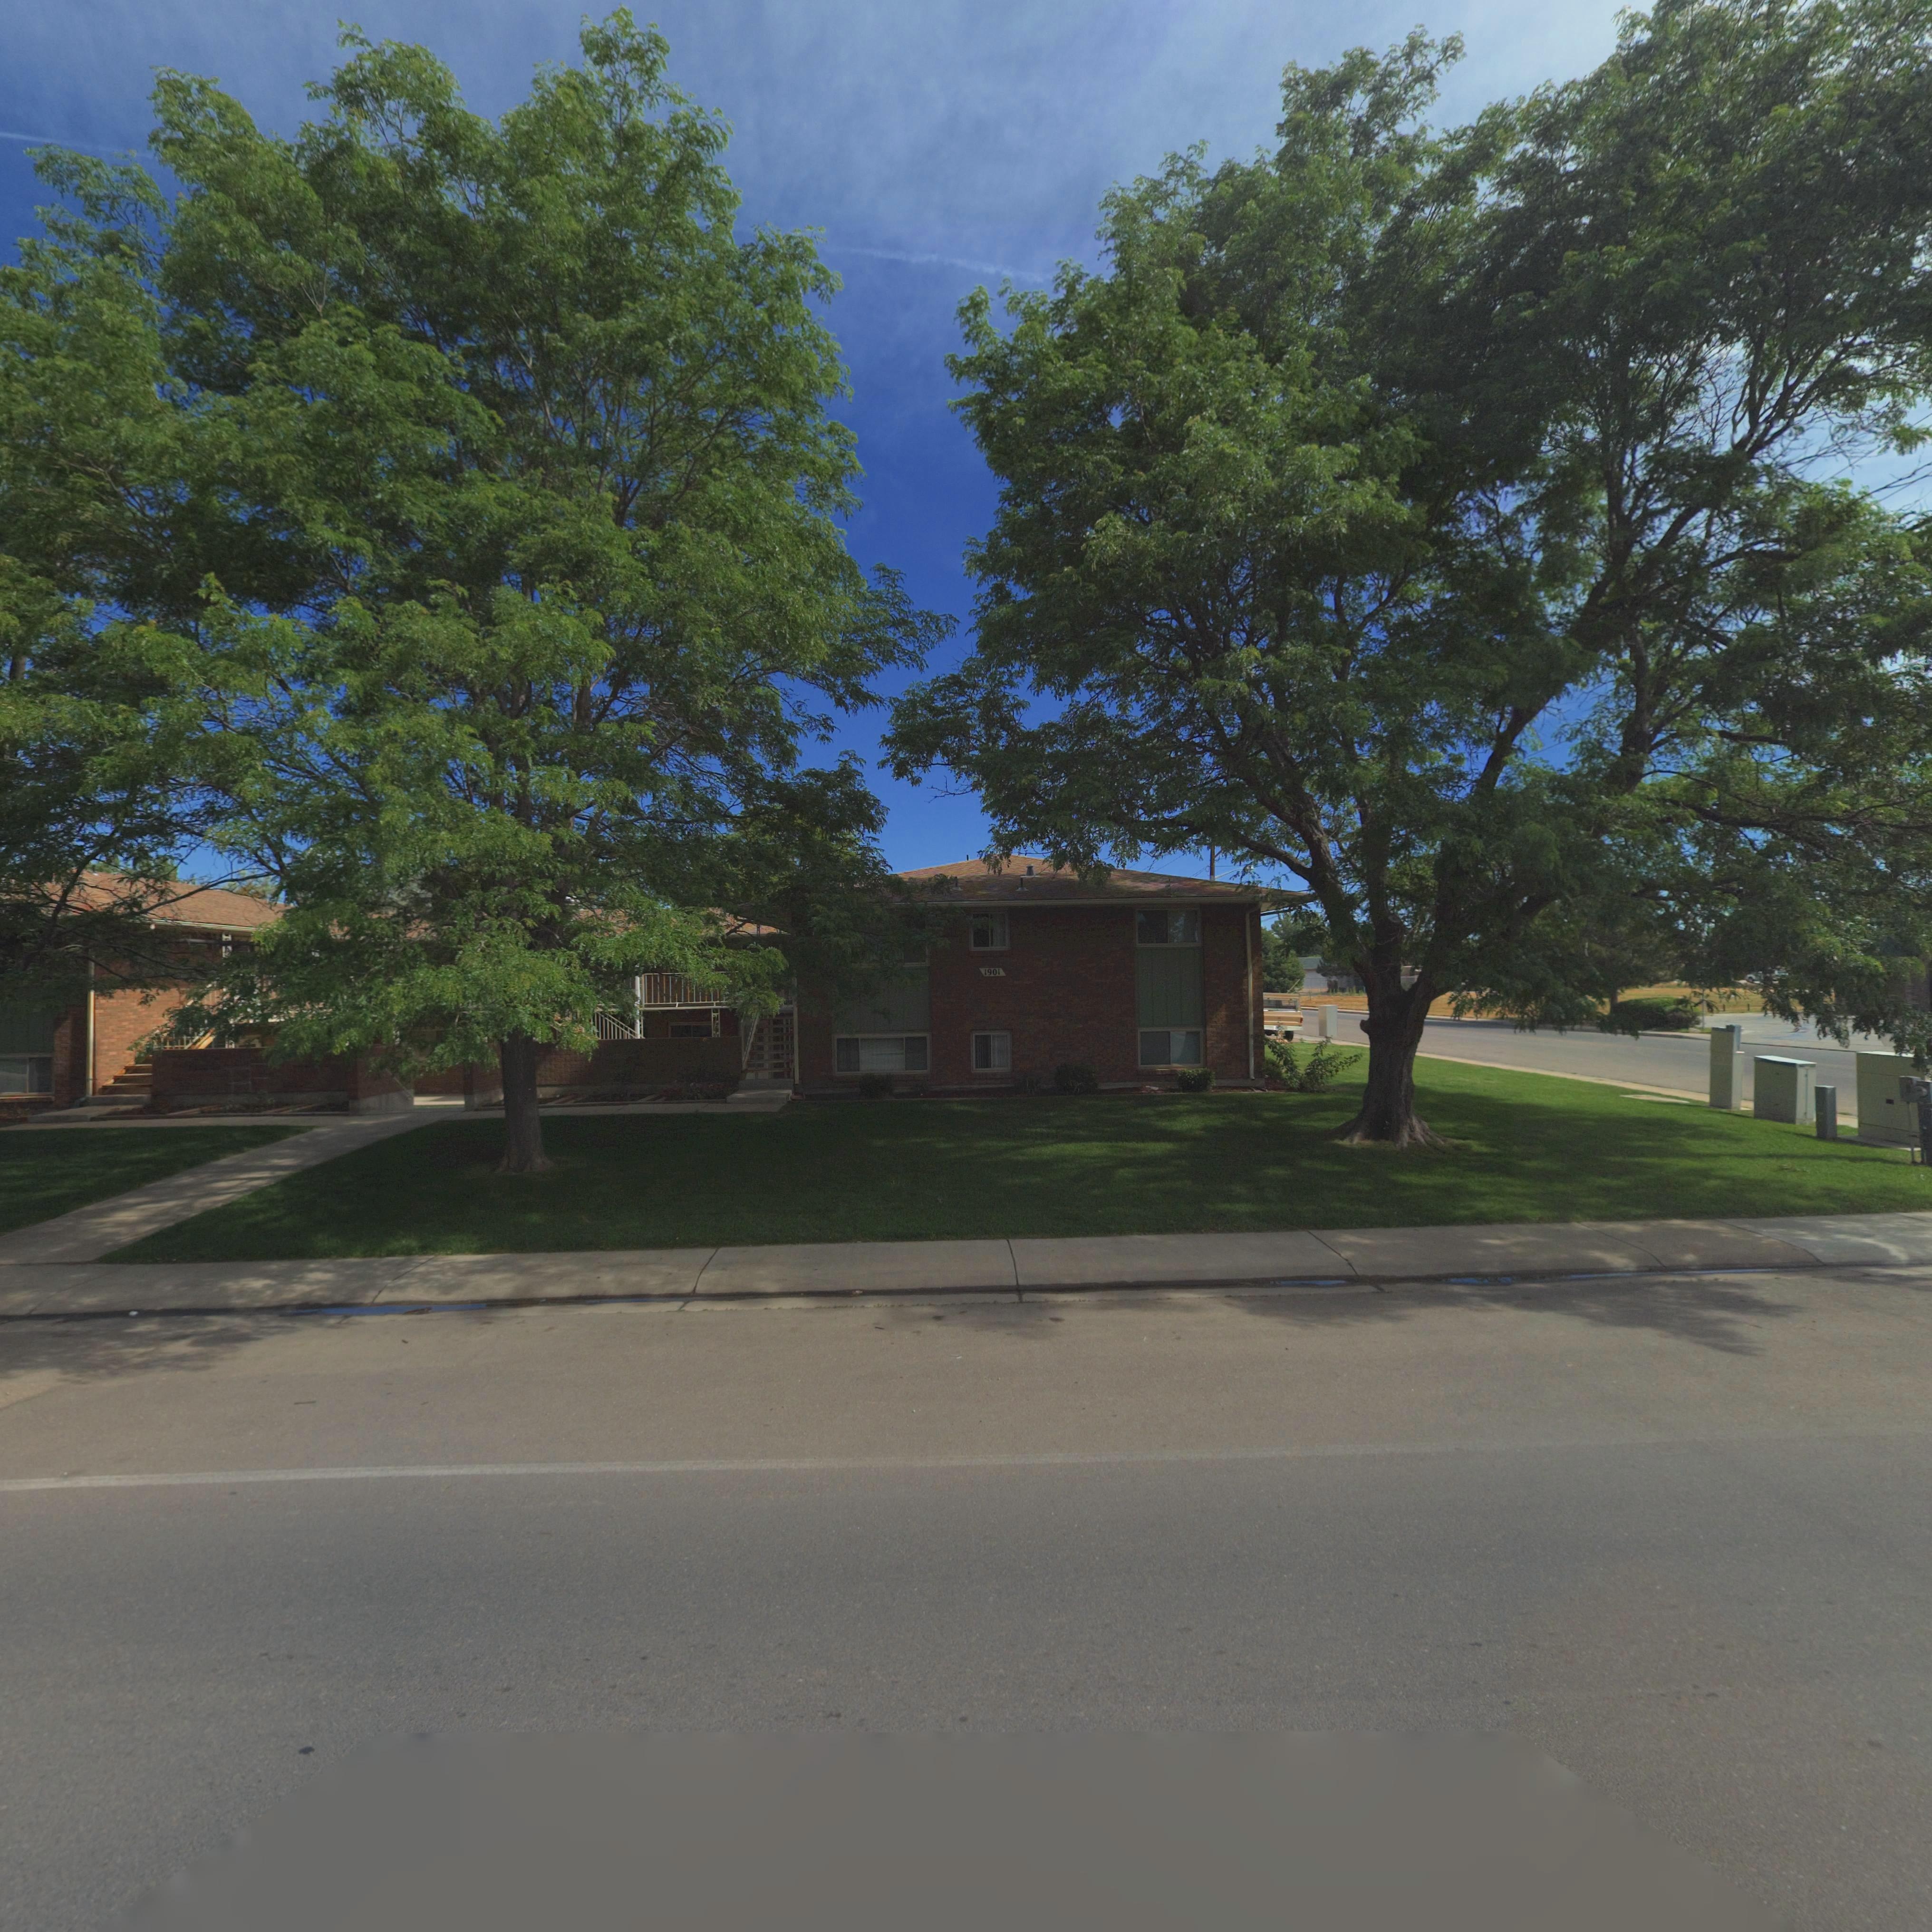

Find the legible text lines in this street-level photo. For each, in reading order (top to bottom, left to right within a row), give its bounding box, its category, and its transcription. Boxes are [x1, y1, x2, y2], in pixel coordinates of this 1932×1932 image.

[984, 968, 1000, 976] StreetNumber: 1901